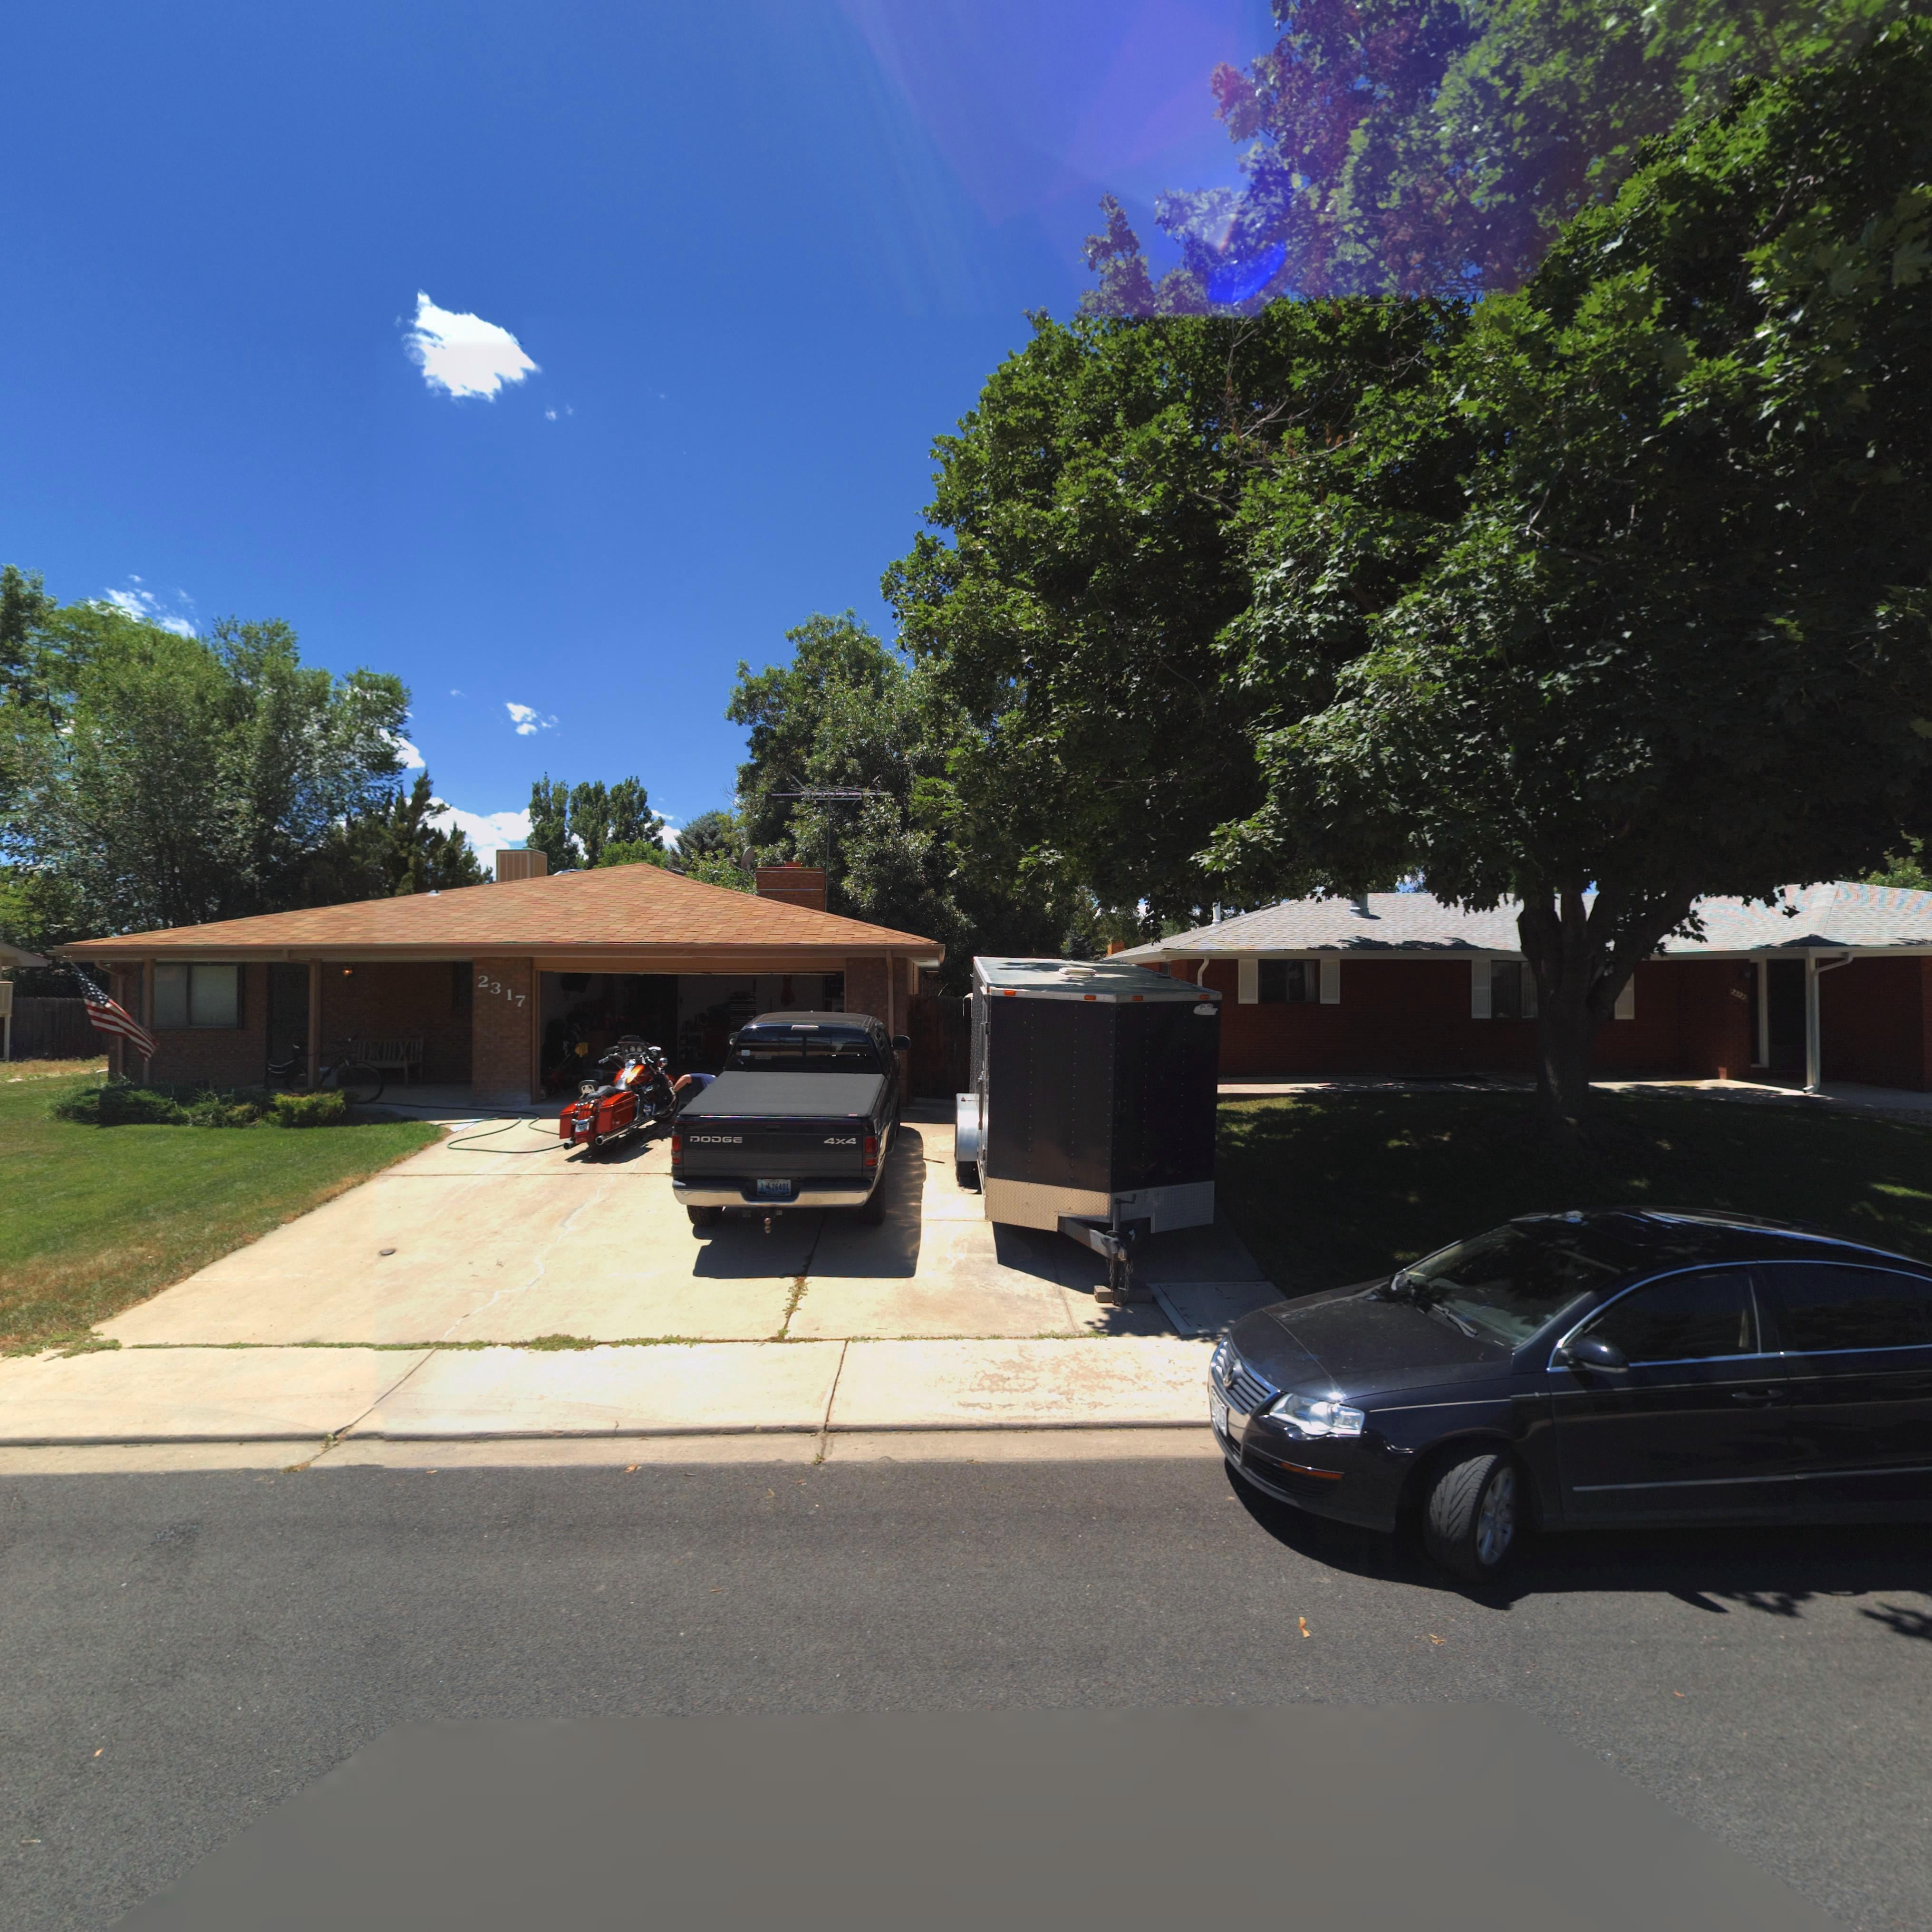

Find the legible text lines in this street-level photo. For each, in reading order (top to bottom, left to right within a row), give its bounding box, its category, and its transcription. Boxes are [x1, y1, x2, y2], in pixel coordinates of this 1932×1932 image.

[478, 975, 526, 1007] StreetNumber: 2317
[1729, 988, 1747, 1000] StreetNumber: 2*23